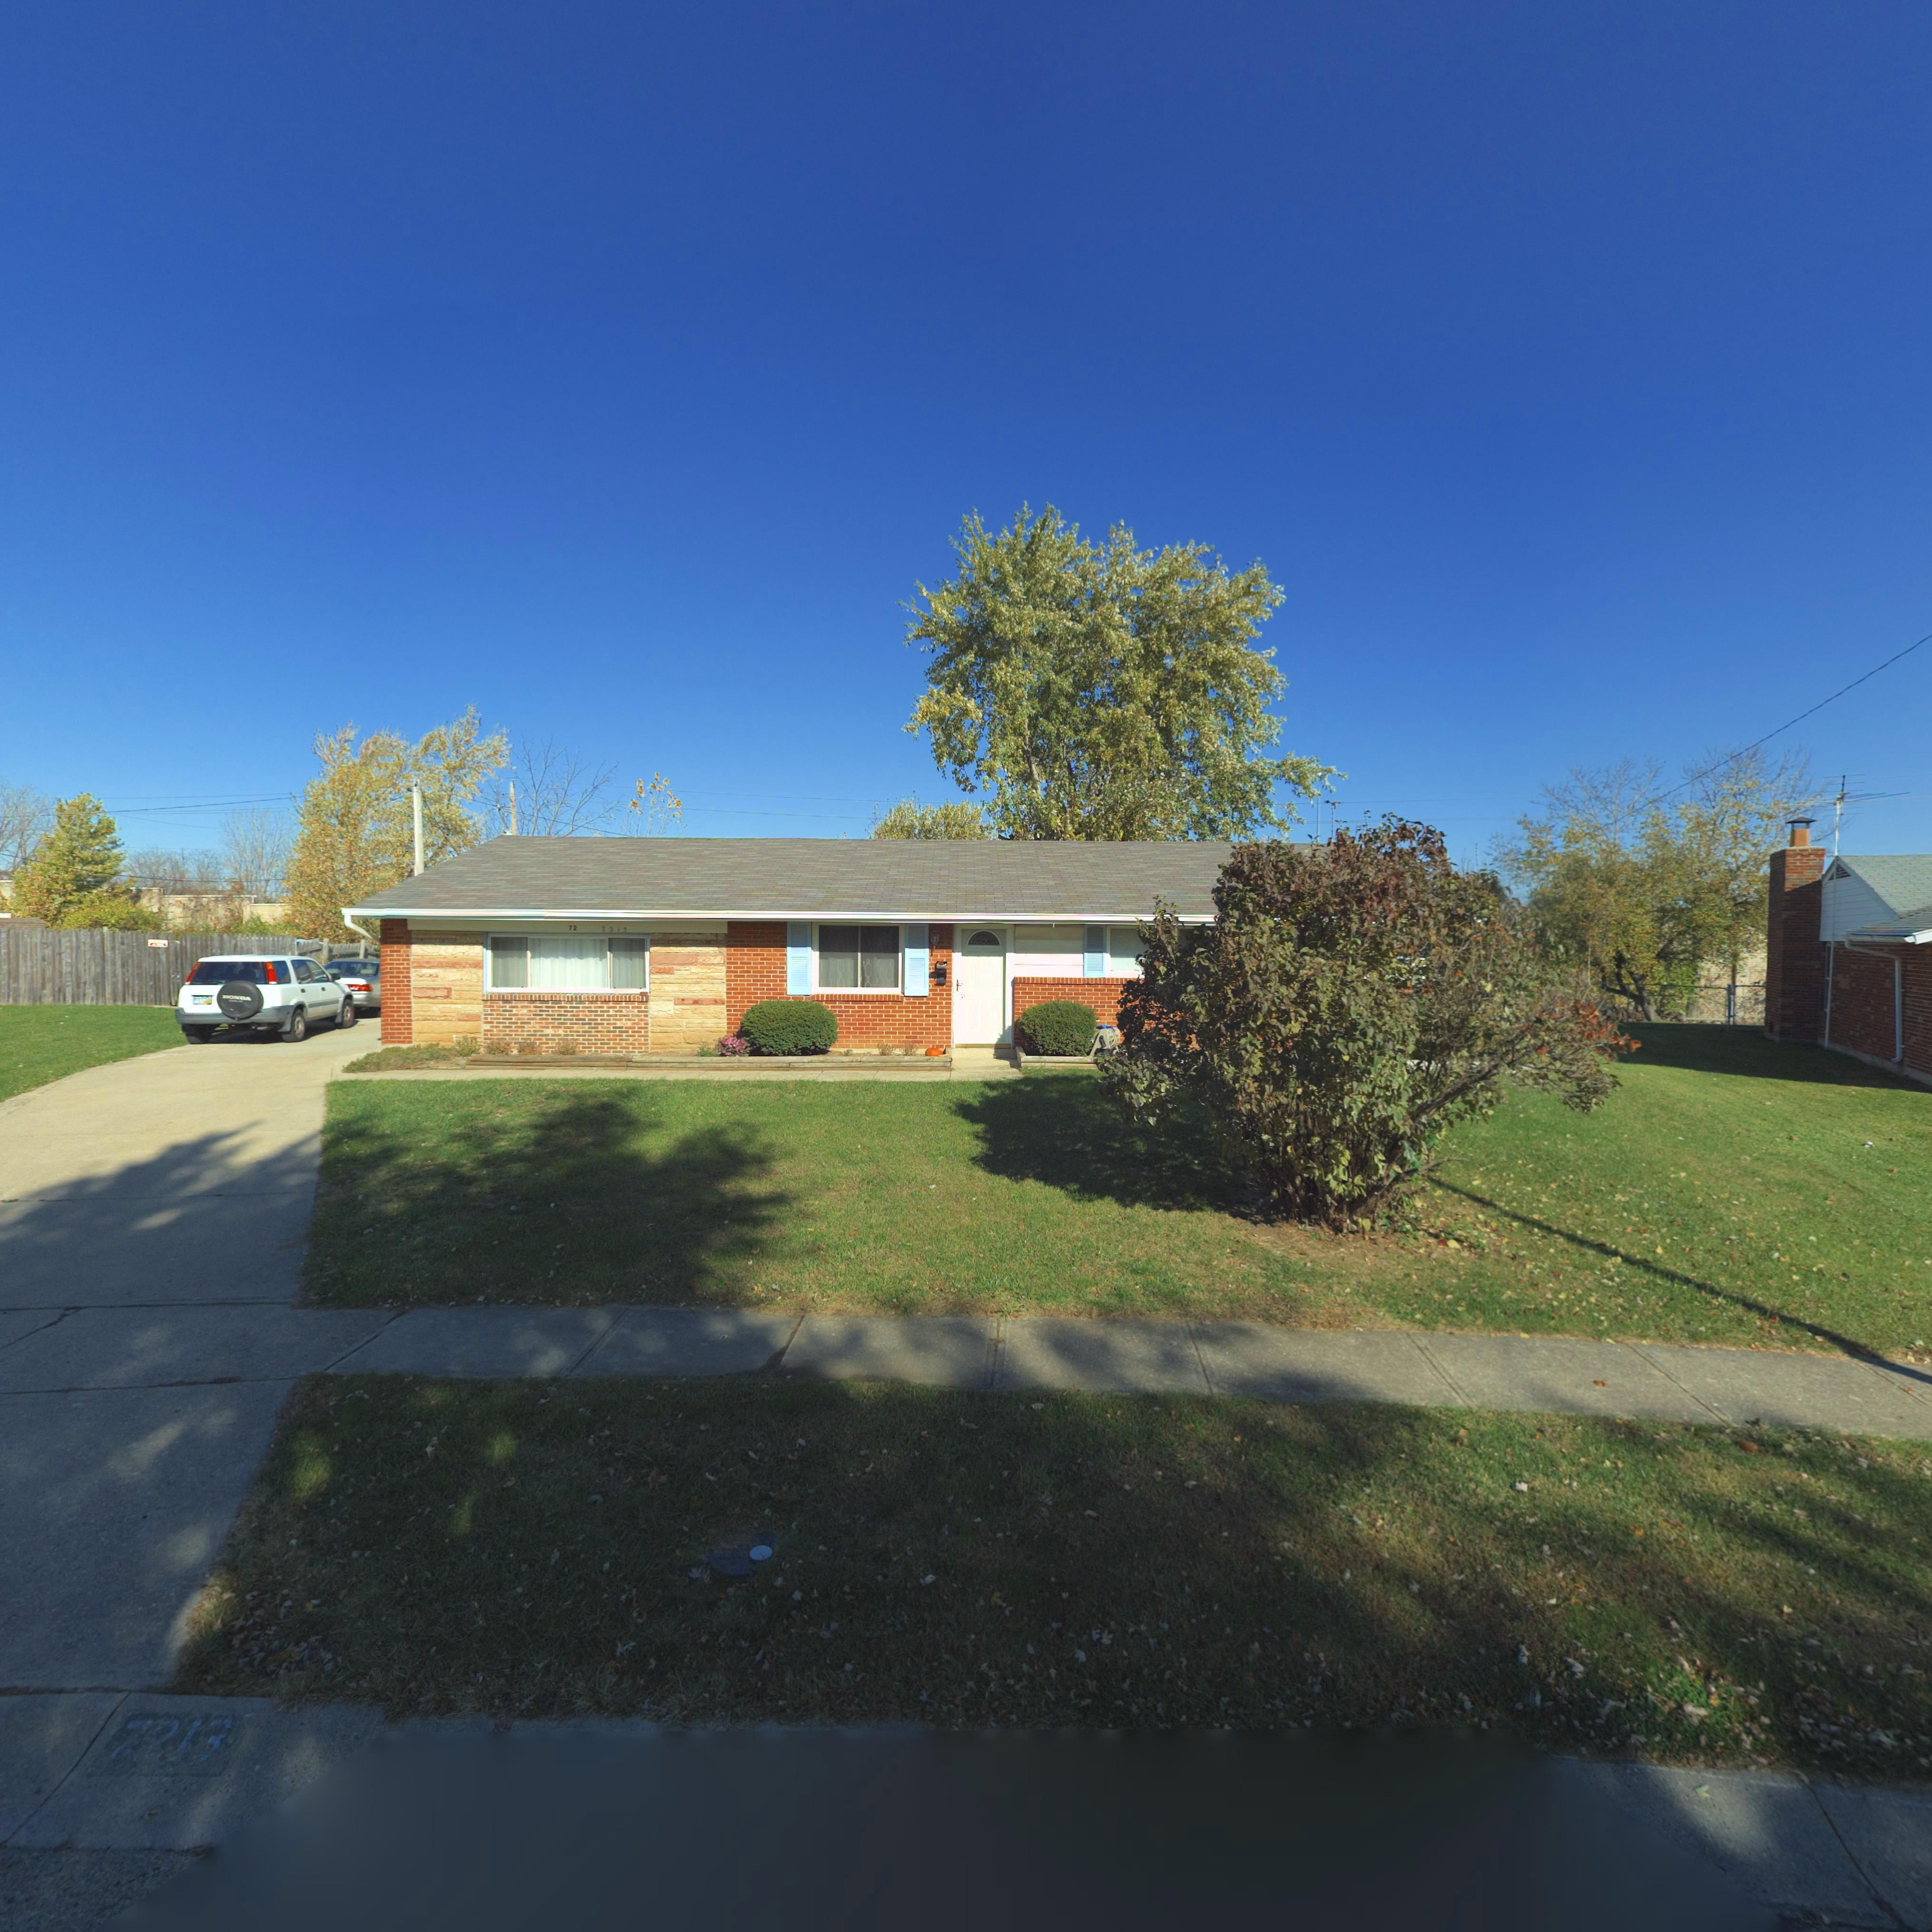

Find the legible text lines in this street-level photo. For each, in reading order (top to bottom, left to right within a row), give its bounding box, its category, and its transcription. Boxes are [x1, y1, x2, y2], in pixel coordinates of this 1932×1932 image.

[567, 924, 579, 932] StreetNumber: 72
[600, 925, 628, 934] StreetNumber: 7*13
[103, 1712, 242, 1766] StreetNumber: 7*1*